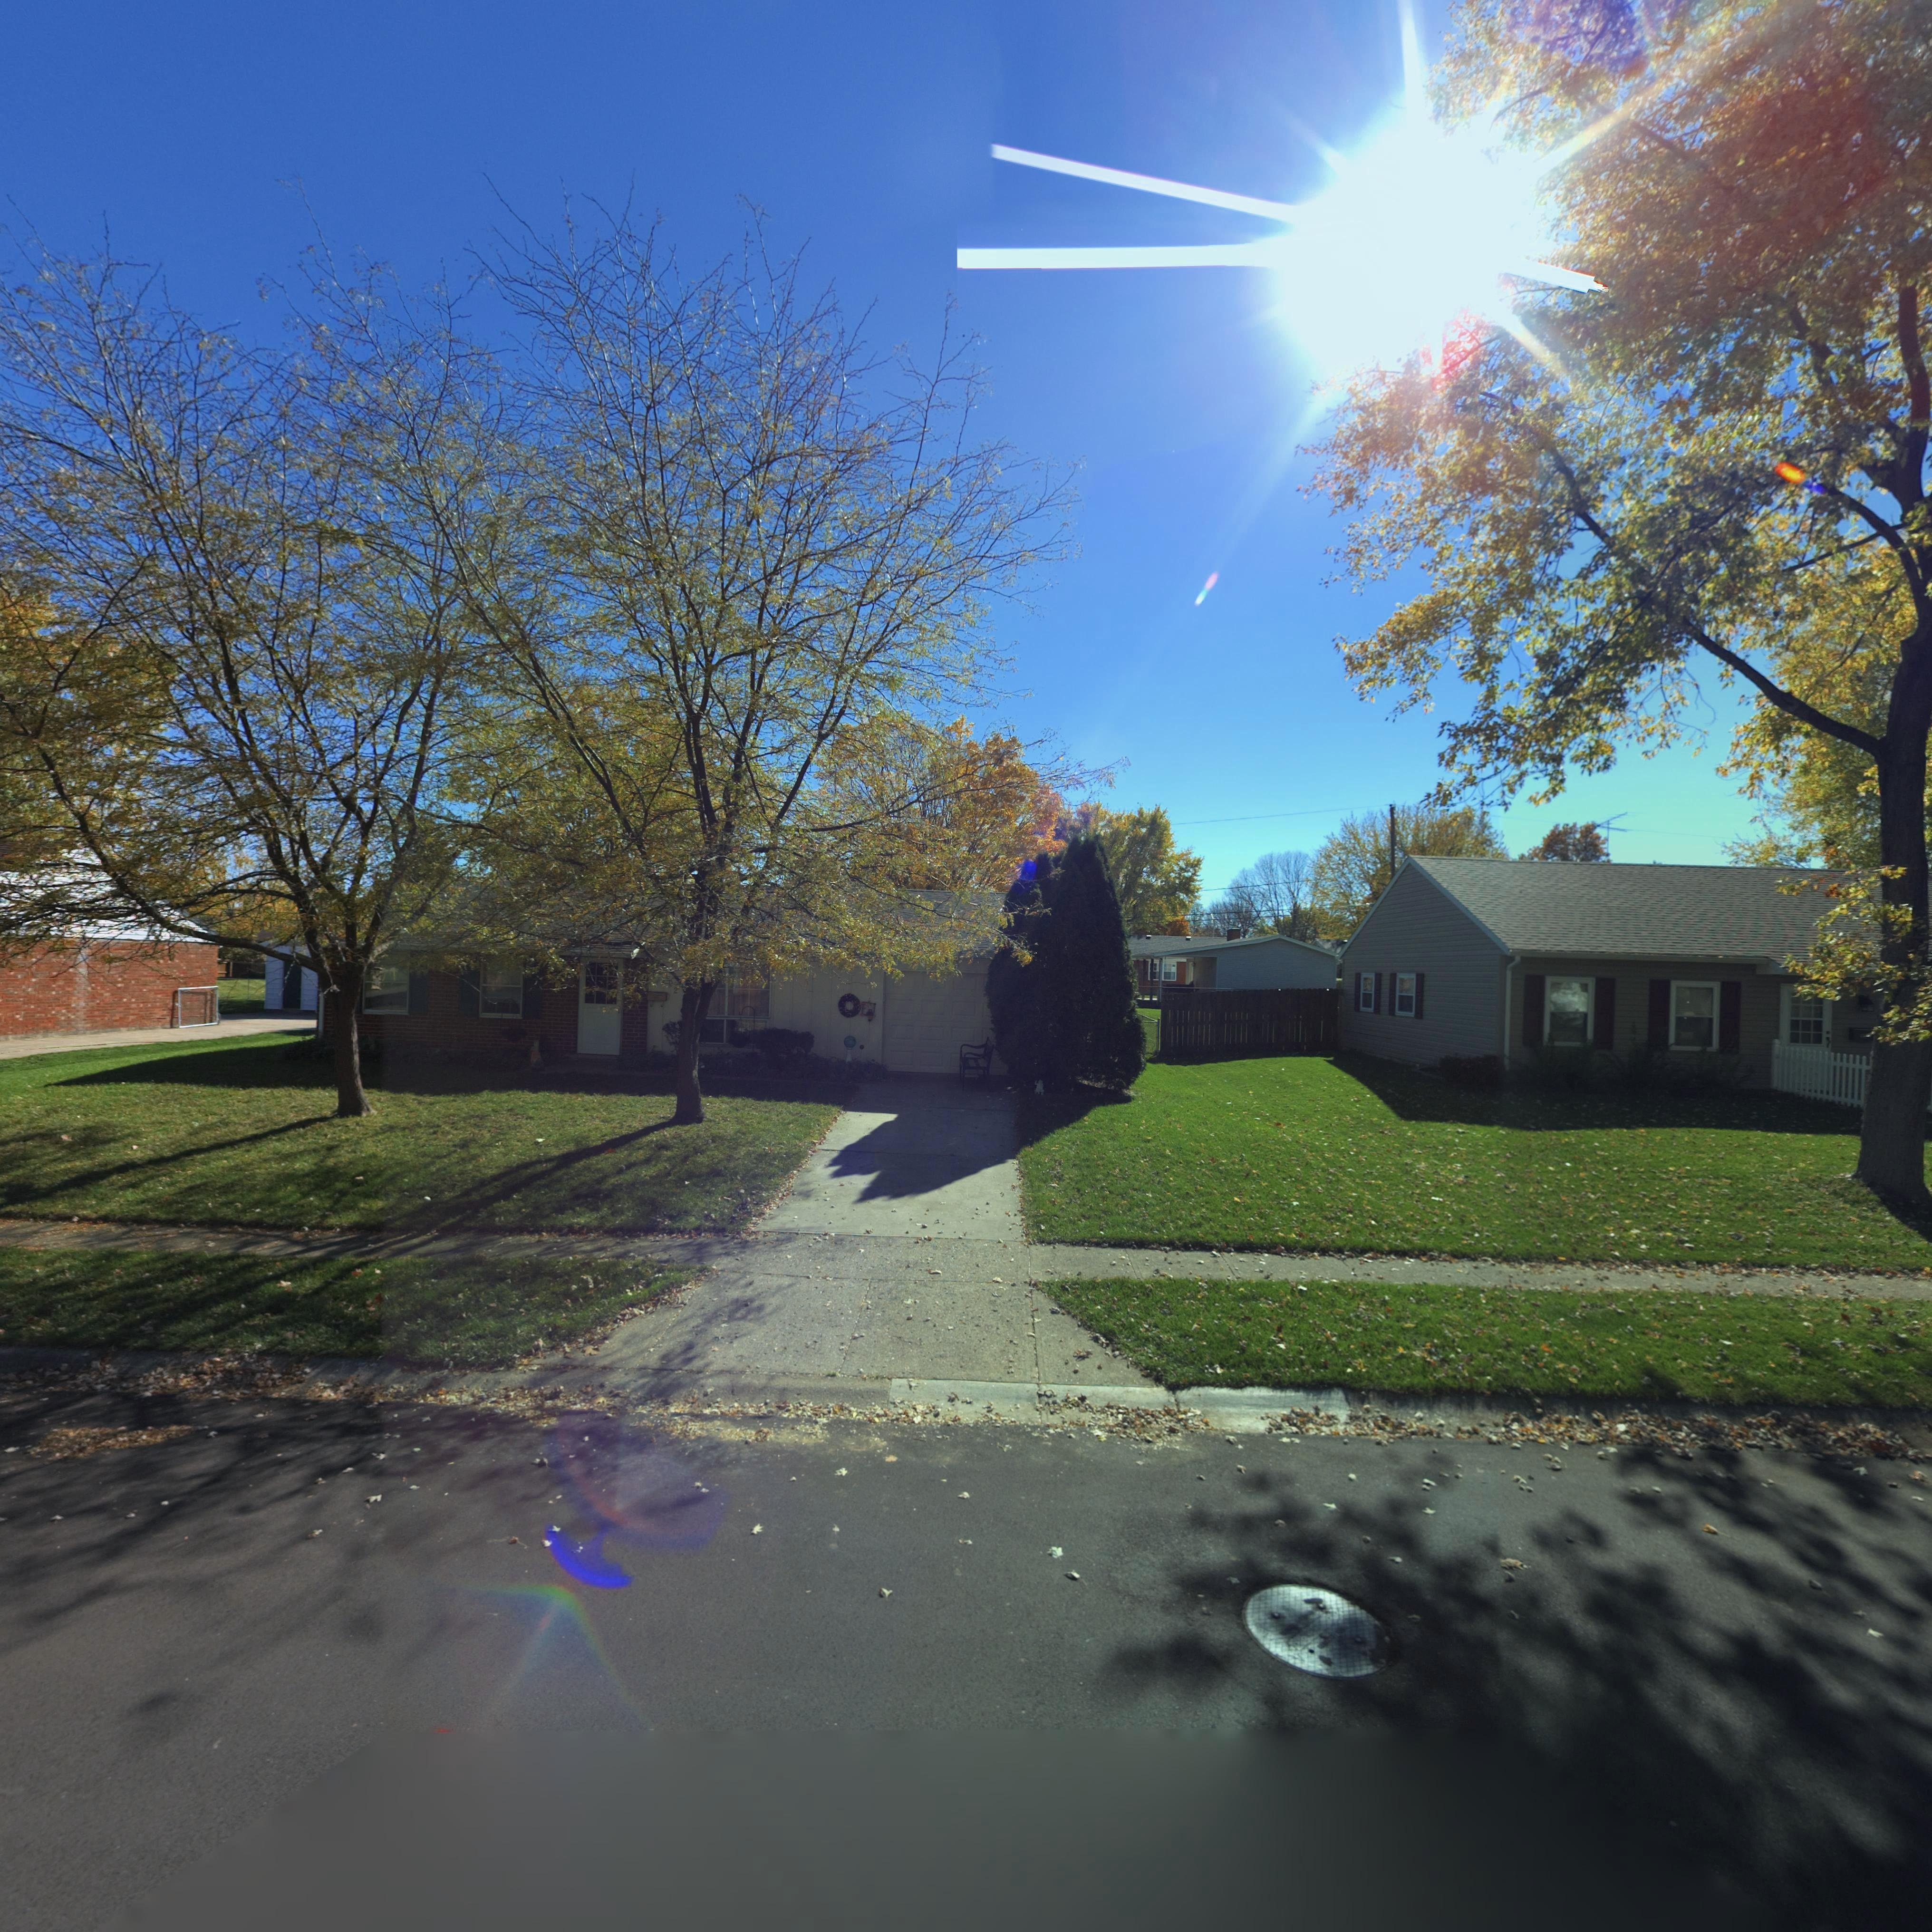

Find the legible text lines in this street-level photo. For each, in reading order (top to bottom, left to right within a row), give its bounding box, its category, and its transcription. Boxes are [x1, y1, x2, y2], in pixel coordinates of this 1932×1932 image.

[665, 972, 678, 994] StreetNumber: 602